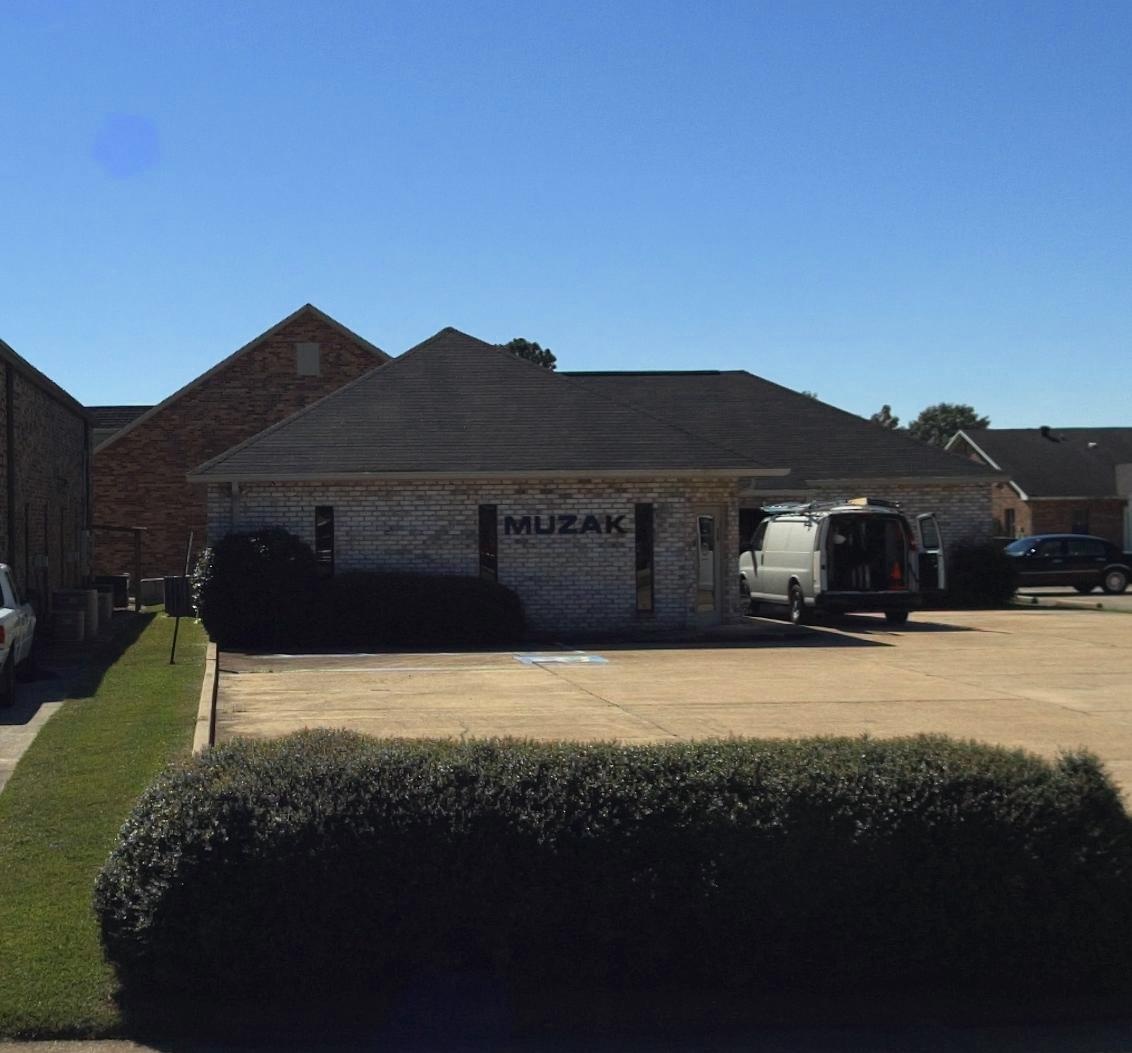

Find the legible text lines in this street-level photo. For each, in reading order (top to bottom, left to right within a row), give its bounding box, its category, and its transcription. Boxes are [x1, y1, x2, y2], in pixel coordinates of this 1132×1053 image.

[502, 513, 629, 537] BusinessName: MUZAK